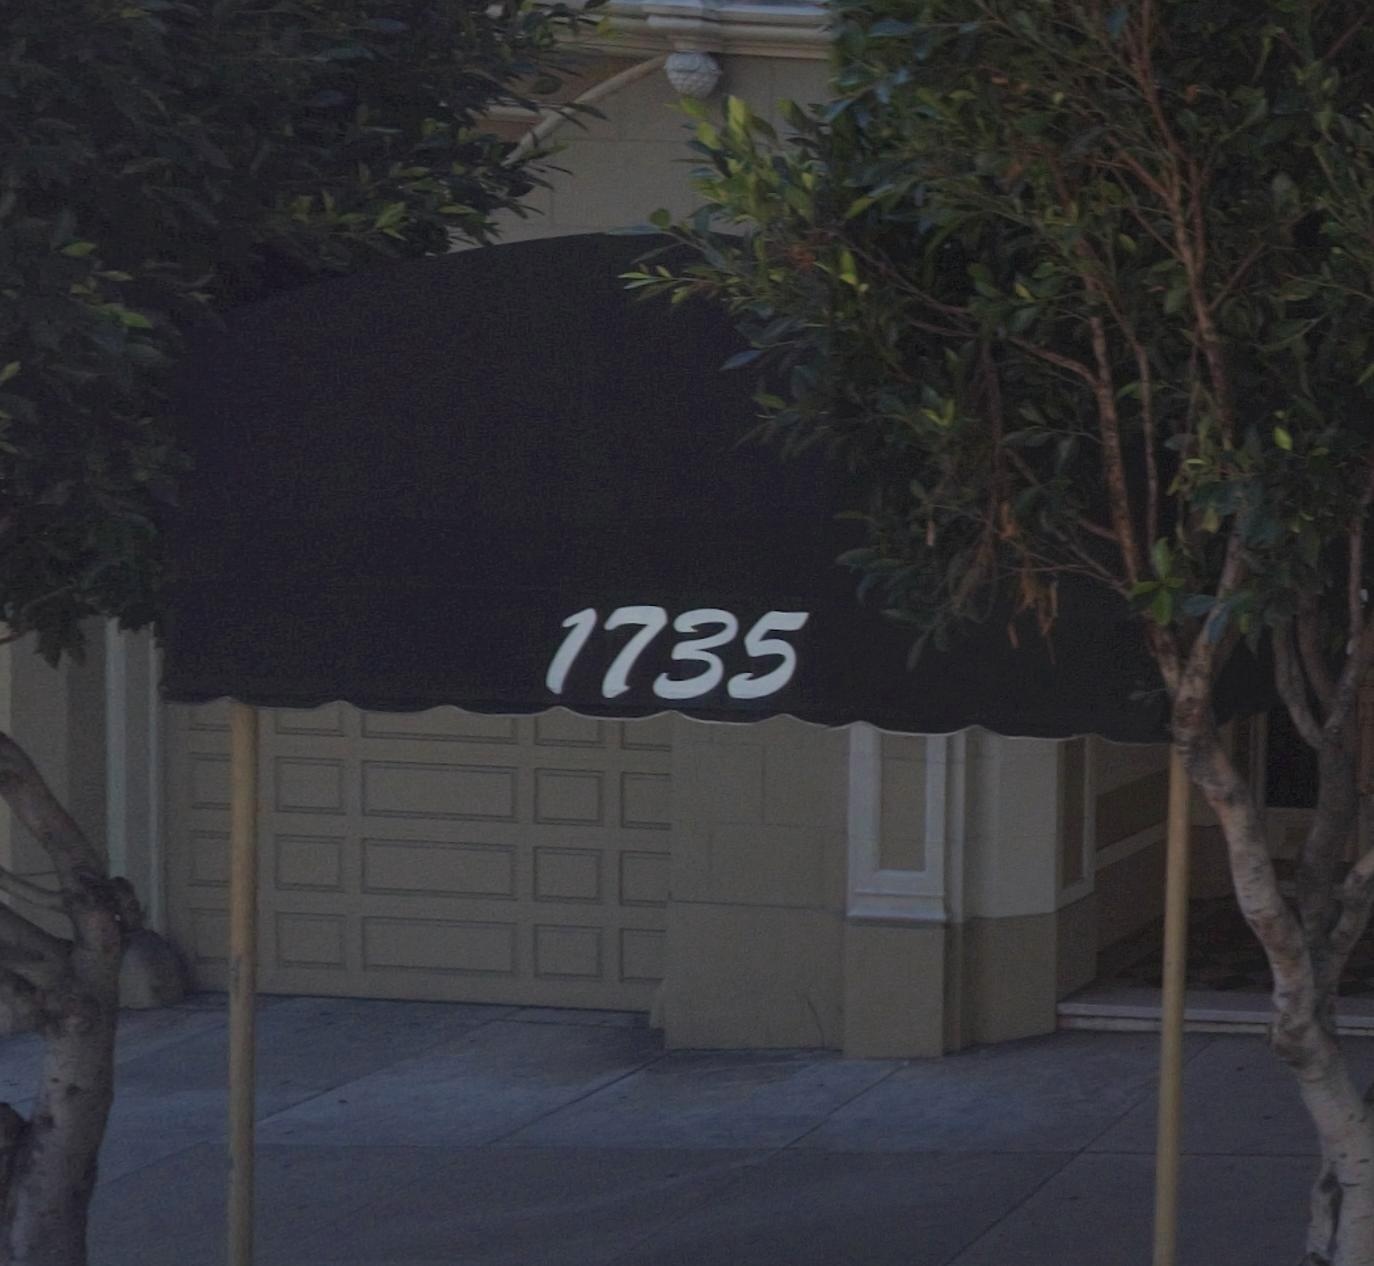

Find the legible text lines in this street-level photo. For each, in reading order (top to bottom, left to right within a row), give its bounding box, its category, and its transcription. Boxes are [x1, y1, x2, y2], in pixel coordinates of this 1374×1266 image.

[532, 604, 815, 701] StreetNumber: 1735